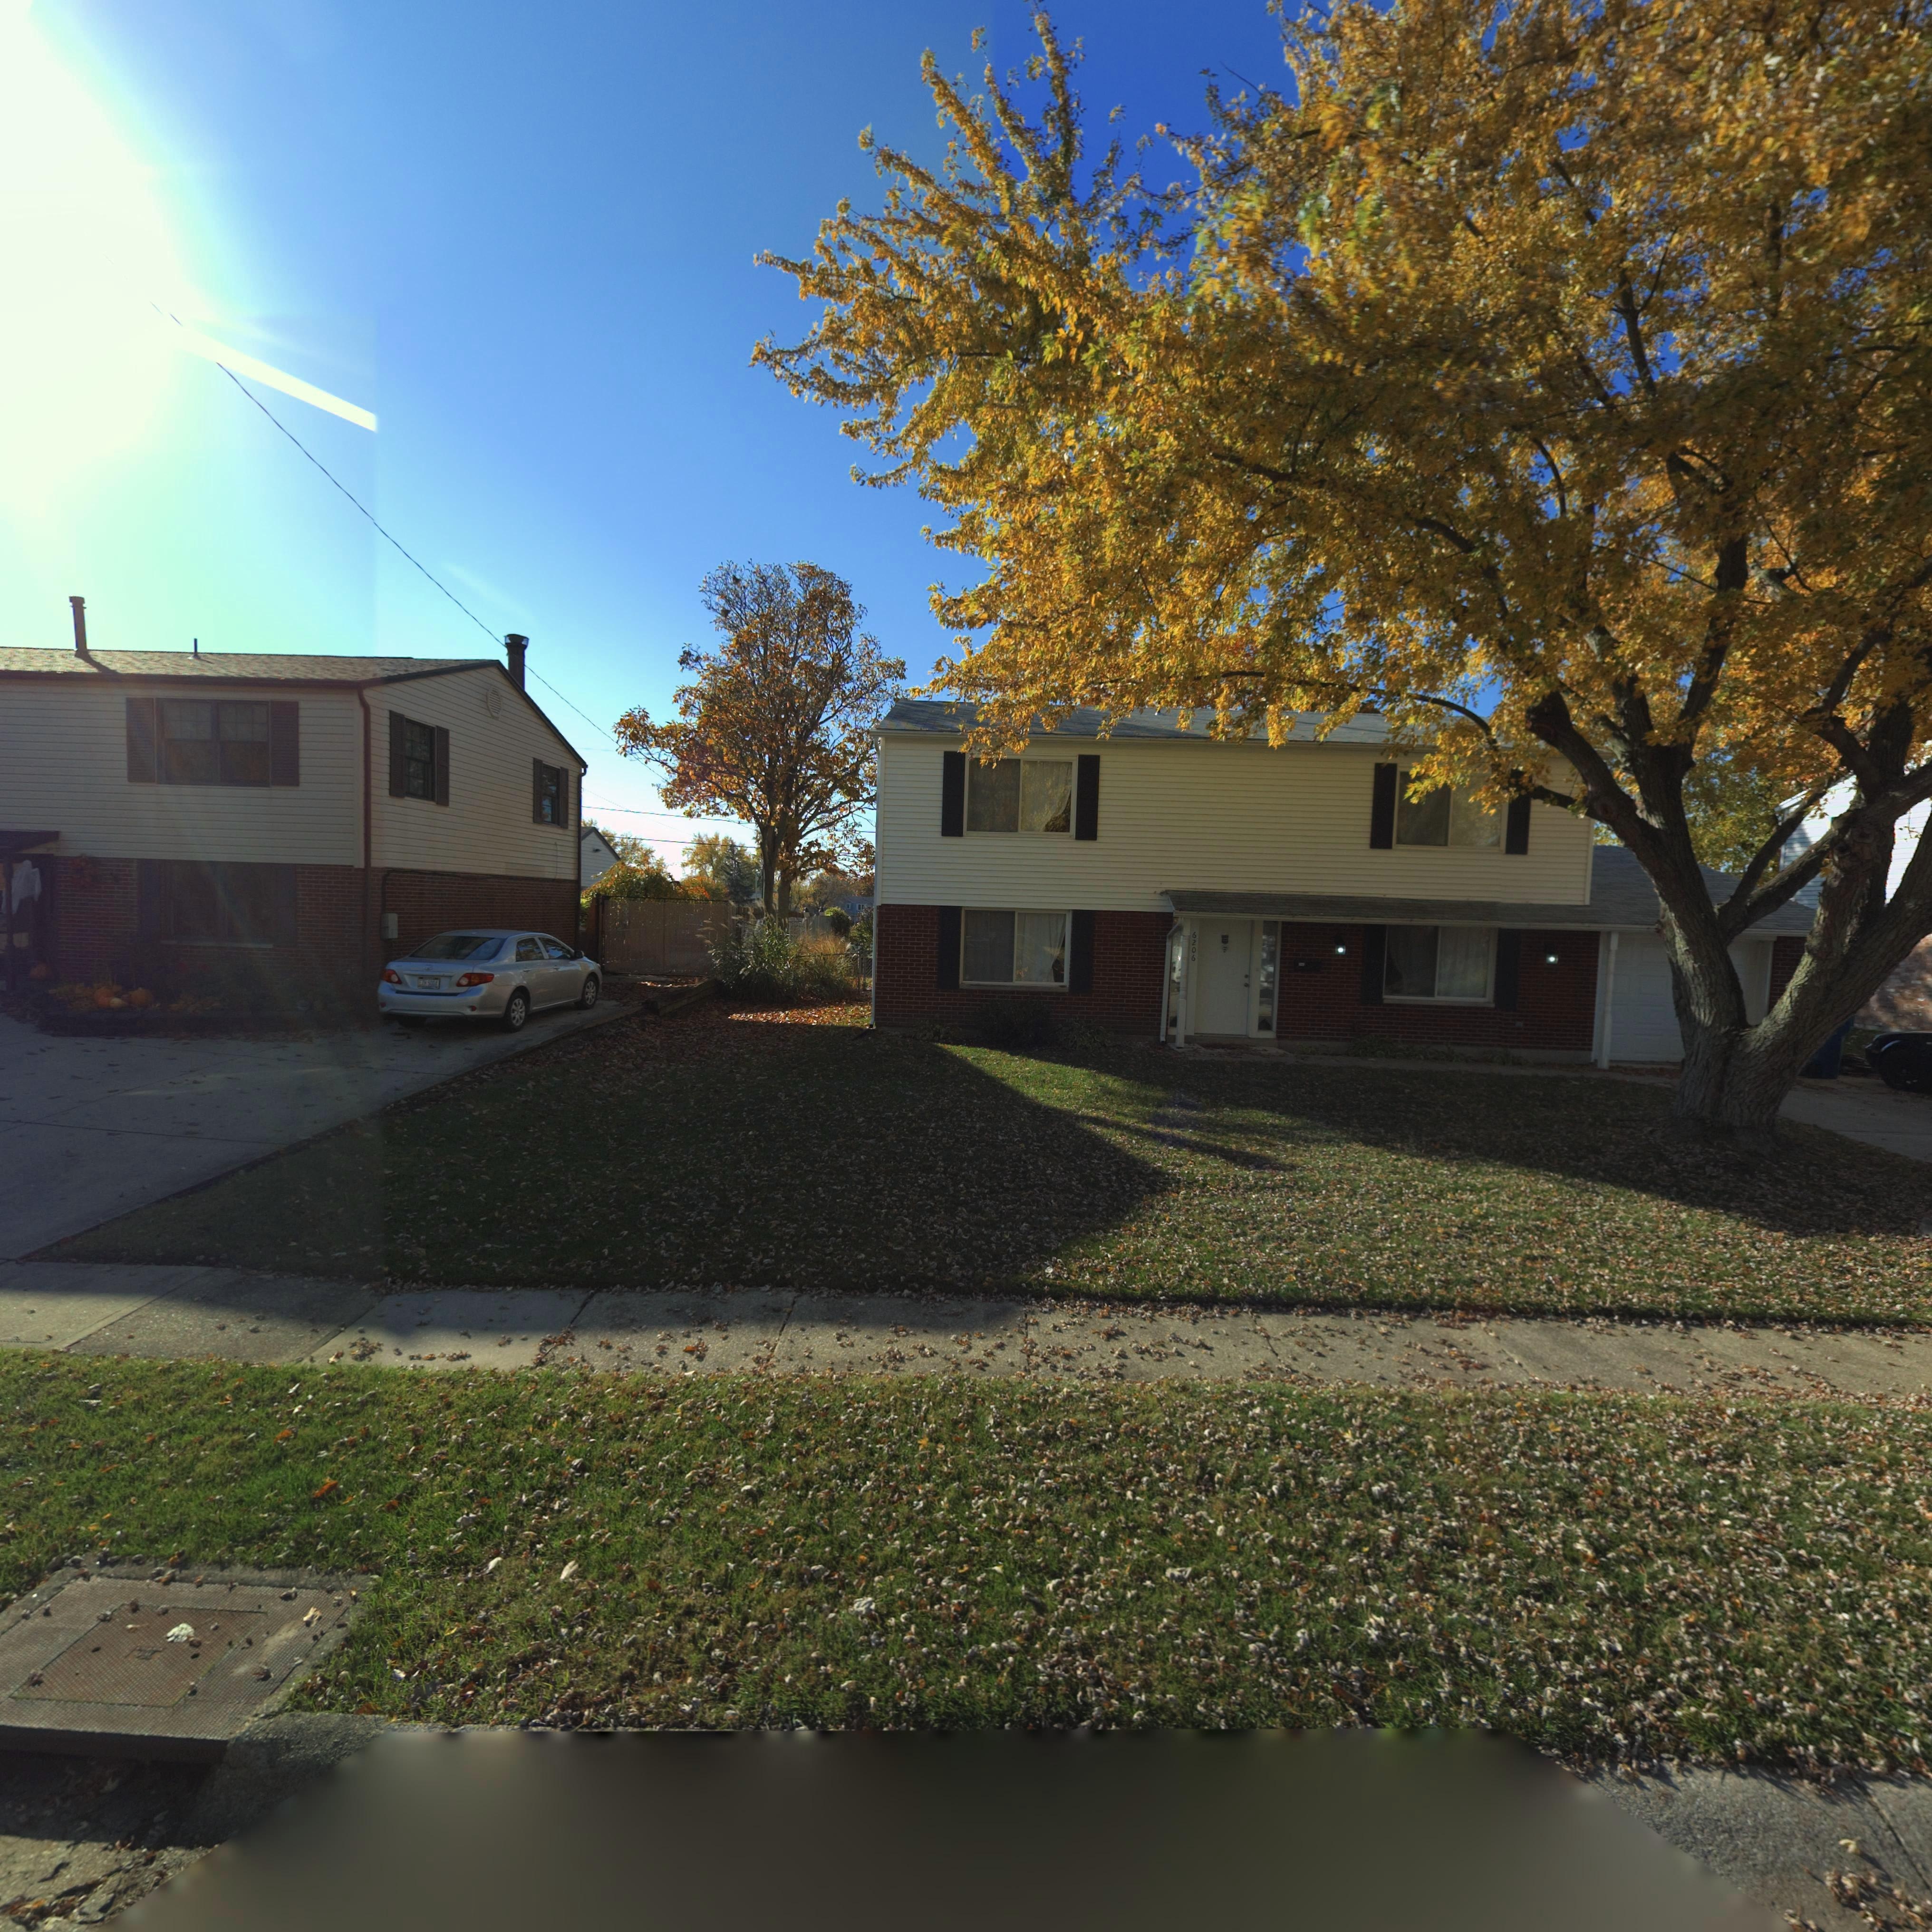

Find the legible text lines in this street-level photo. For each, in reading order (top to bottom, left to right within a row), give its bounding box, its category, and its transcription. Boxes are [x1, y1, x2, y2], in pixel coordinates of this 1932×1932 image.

[1190, 931, 1197, 962] StreetNumber: 6206